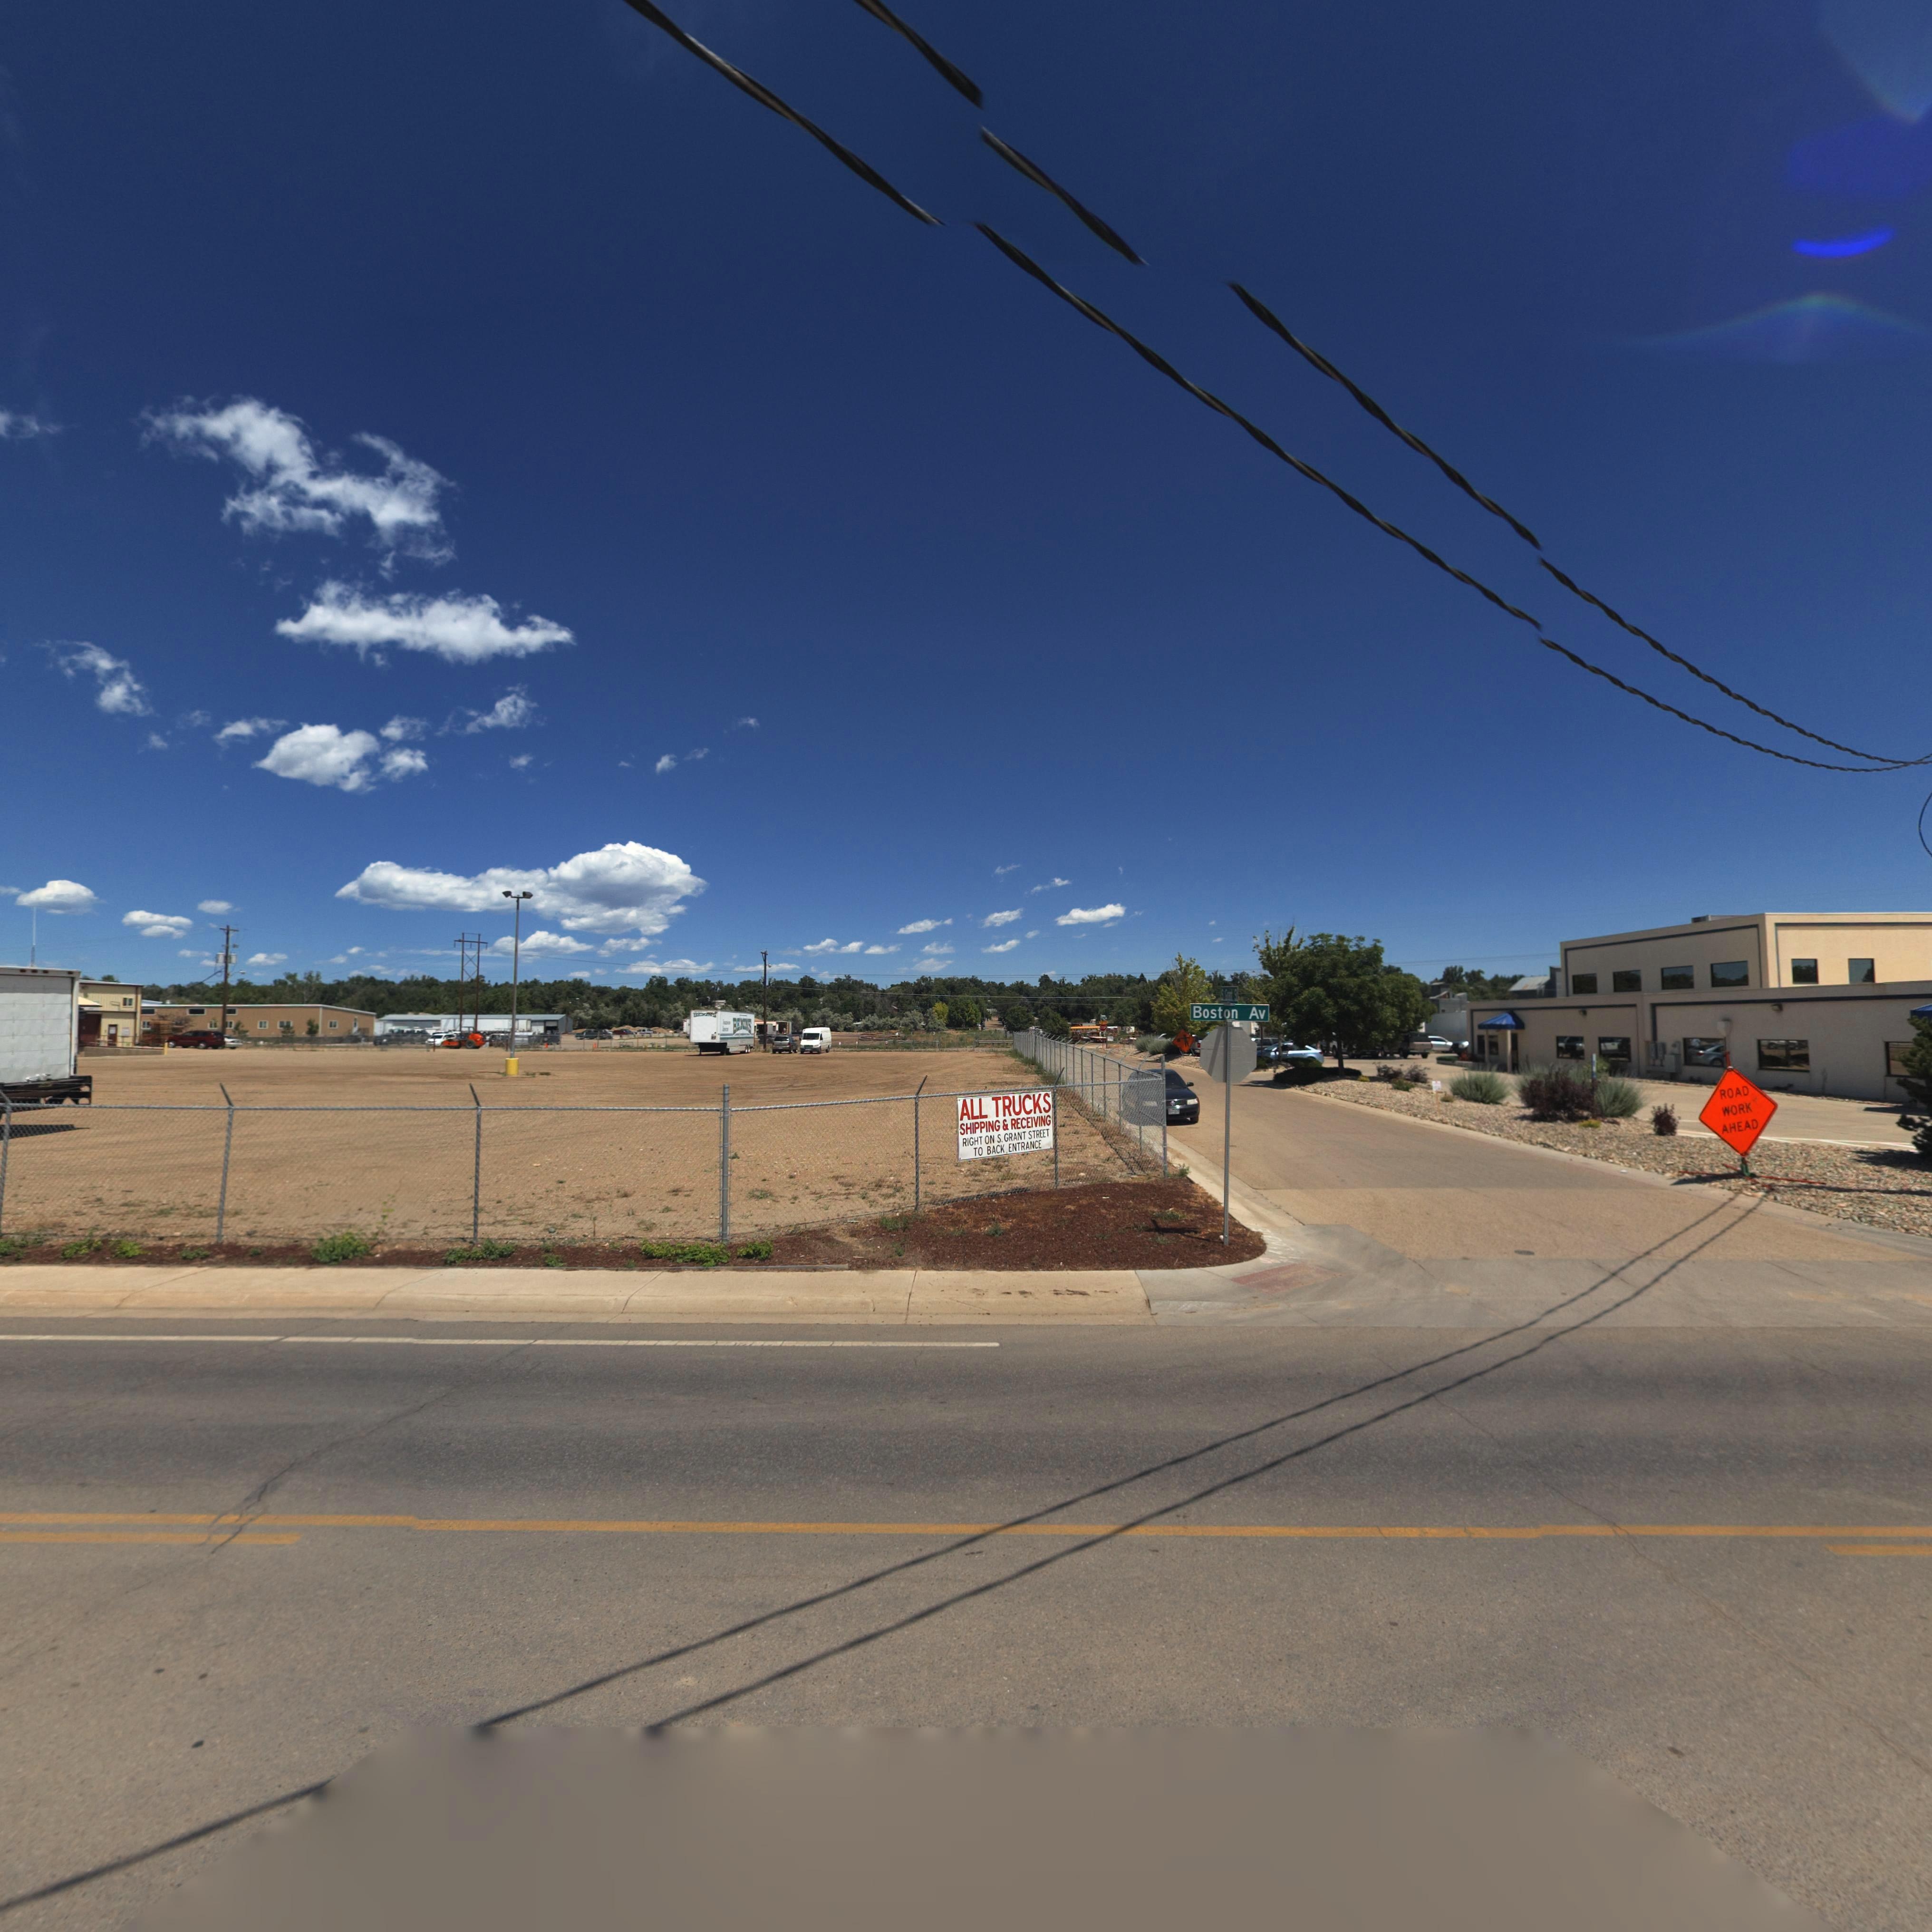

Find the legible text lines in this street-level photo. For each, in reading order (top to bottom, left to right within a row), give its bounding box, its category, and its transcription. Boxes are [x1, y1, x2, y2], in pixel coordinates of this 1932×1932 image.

[1221, 988, 1238, 1002] StreetName: S Grant St
[1193, 1005, 1265, 1019] StreetName: Boston Av
[1720, 1119, 1759, 1134] BusinessName: AHEAD
[996, 1128, 1050, 1143] StreetName: S. GRANT STREET